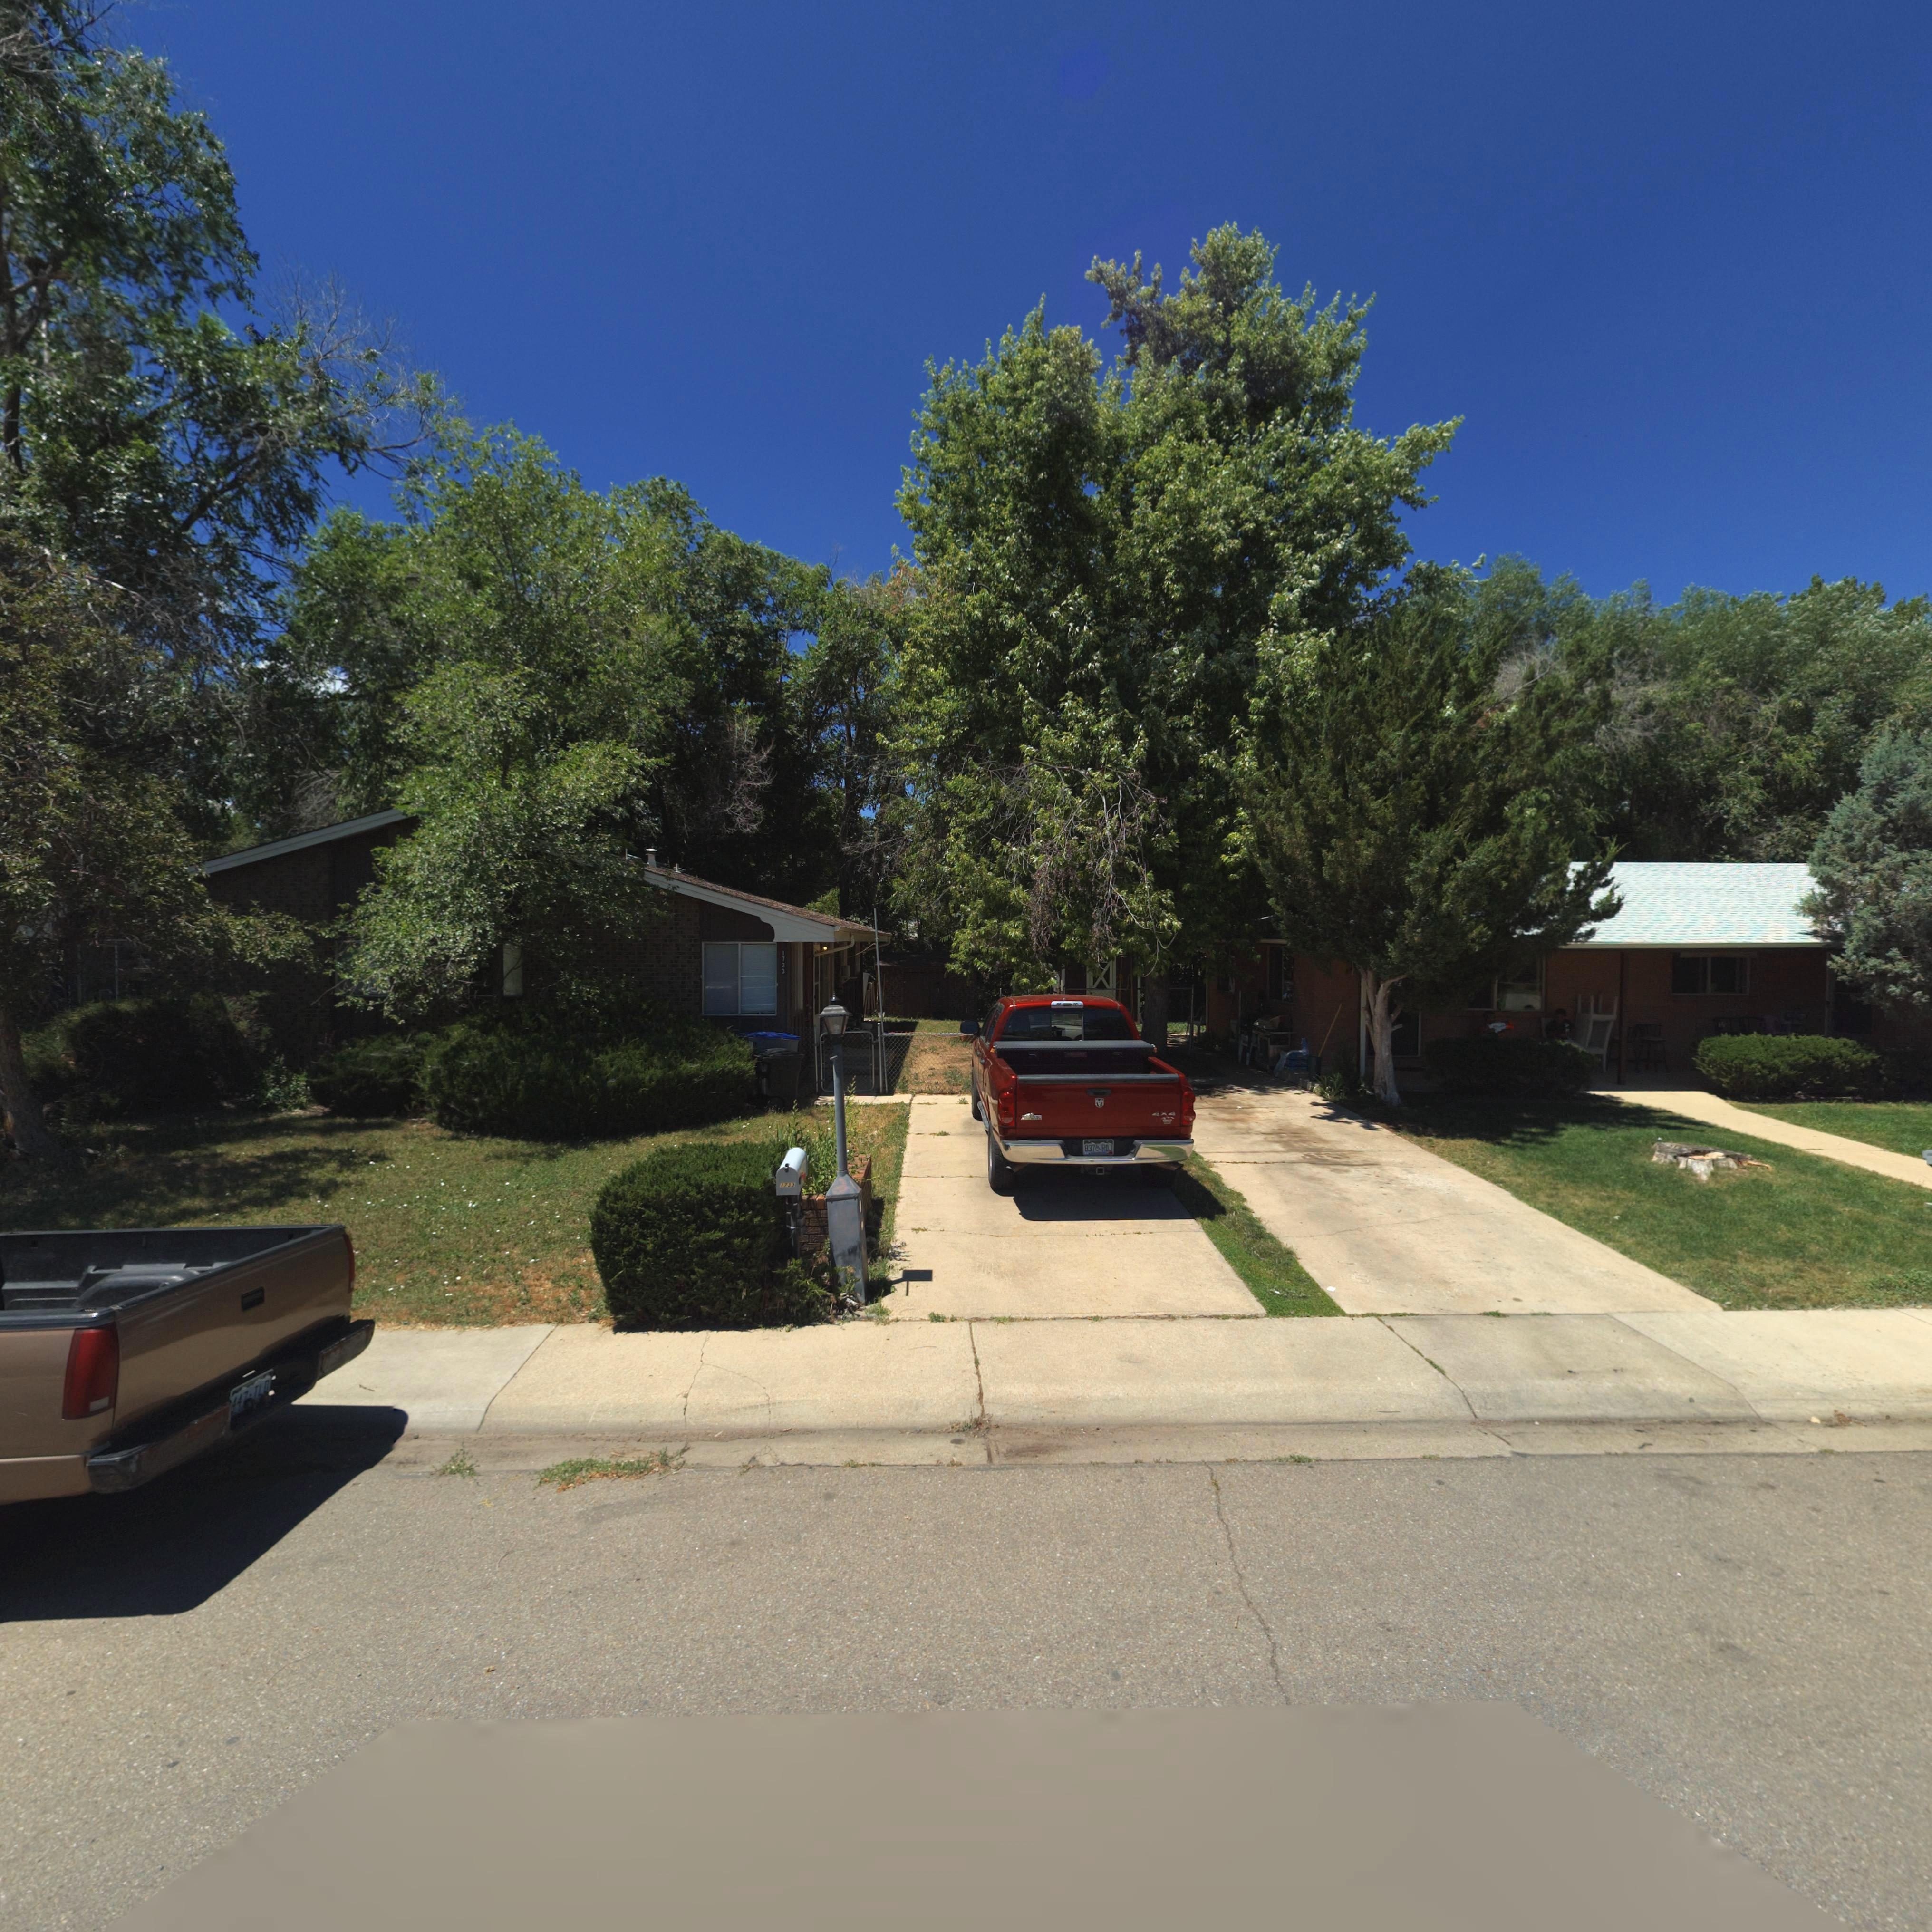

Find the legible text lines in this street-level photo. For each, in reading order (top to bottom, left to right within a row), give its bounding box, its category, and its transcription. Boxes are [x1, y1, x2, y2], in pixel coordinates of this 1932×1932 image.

[781, 950, 785, 974] StreetNumber: 1733
[780, 1182, 795, 1187] StreetNumber: 1733